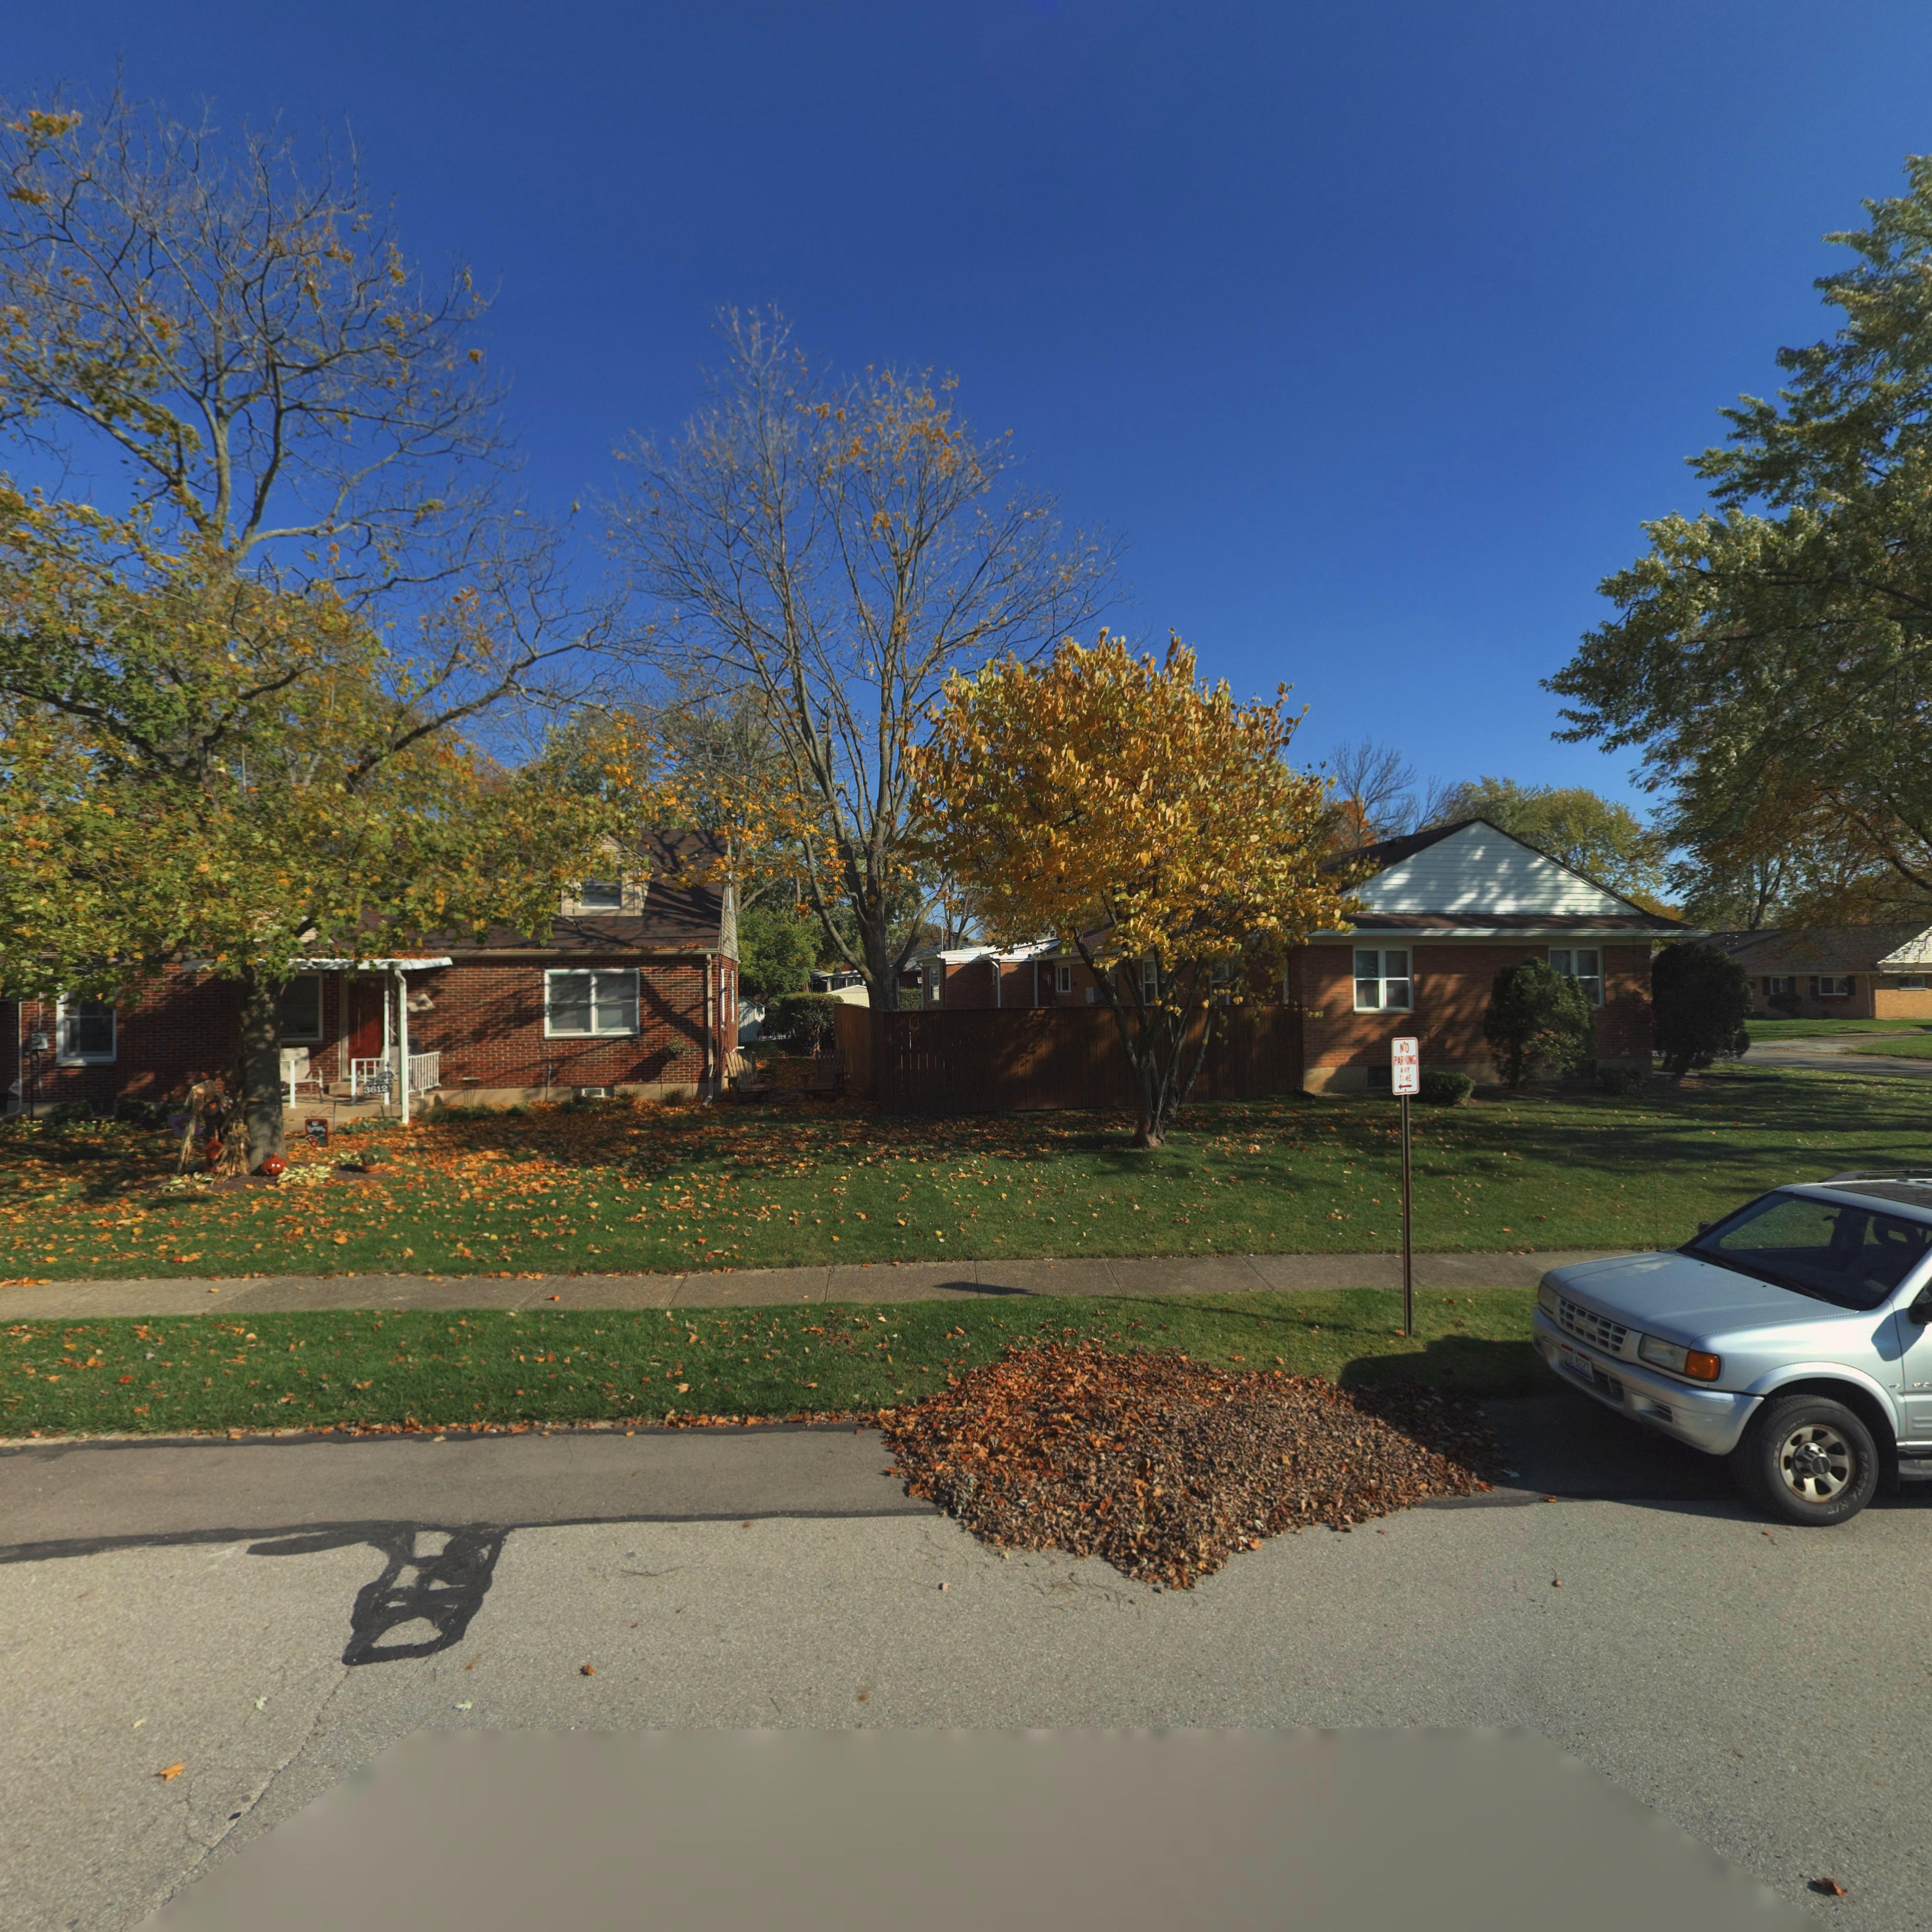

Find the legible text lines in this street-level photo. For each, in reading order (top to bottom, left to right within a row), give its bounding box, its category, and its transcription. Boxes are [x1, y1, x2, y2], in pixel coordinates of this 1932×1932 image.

[1400, 1043, 1409, 1053] None: NO
[1393, 1054, 1416, 1066] None: PARKING
[1400, 1066, 1411, 1075] None: ANY
[1400, 1074, 1412, 1082] None: TIME
[363, 1084, 389, 1094] StreetNumber: 3612
[311, 1121, 319, 1127] None: GO
[306, 1125, 315, 1134] None: B
[304, 1134, 321, 1150] None: B
[1575, 1356, 1590, 1376] None: 4527
[1847, 1450, 1870, 1503] None: DAKOTA